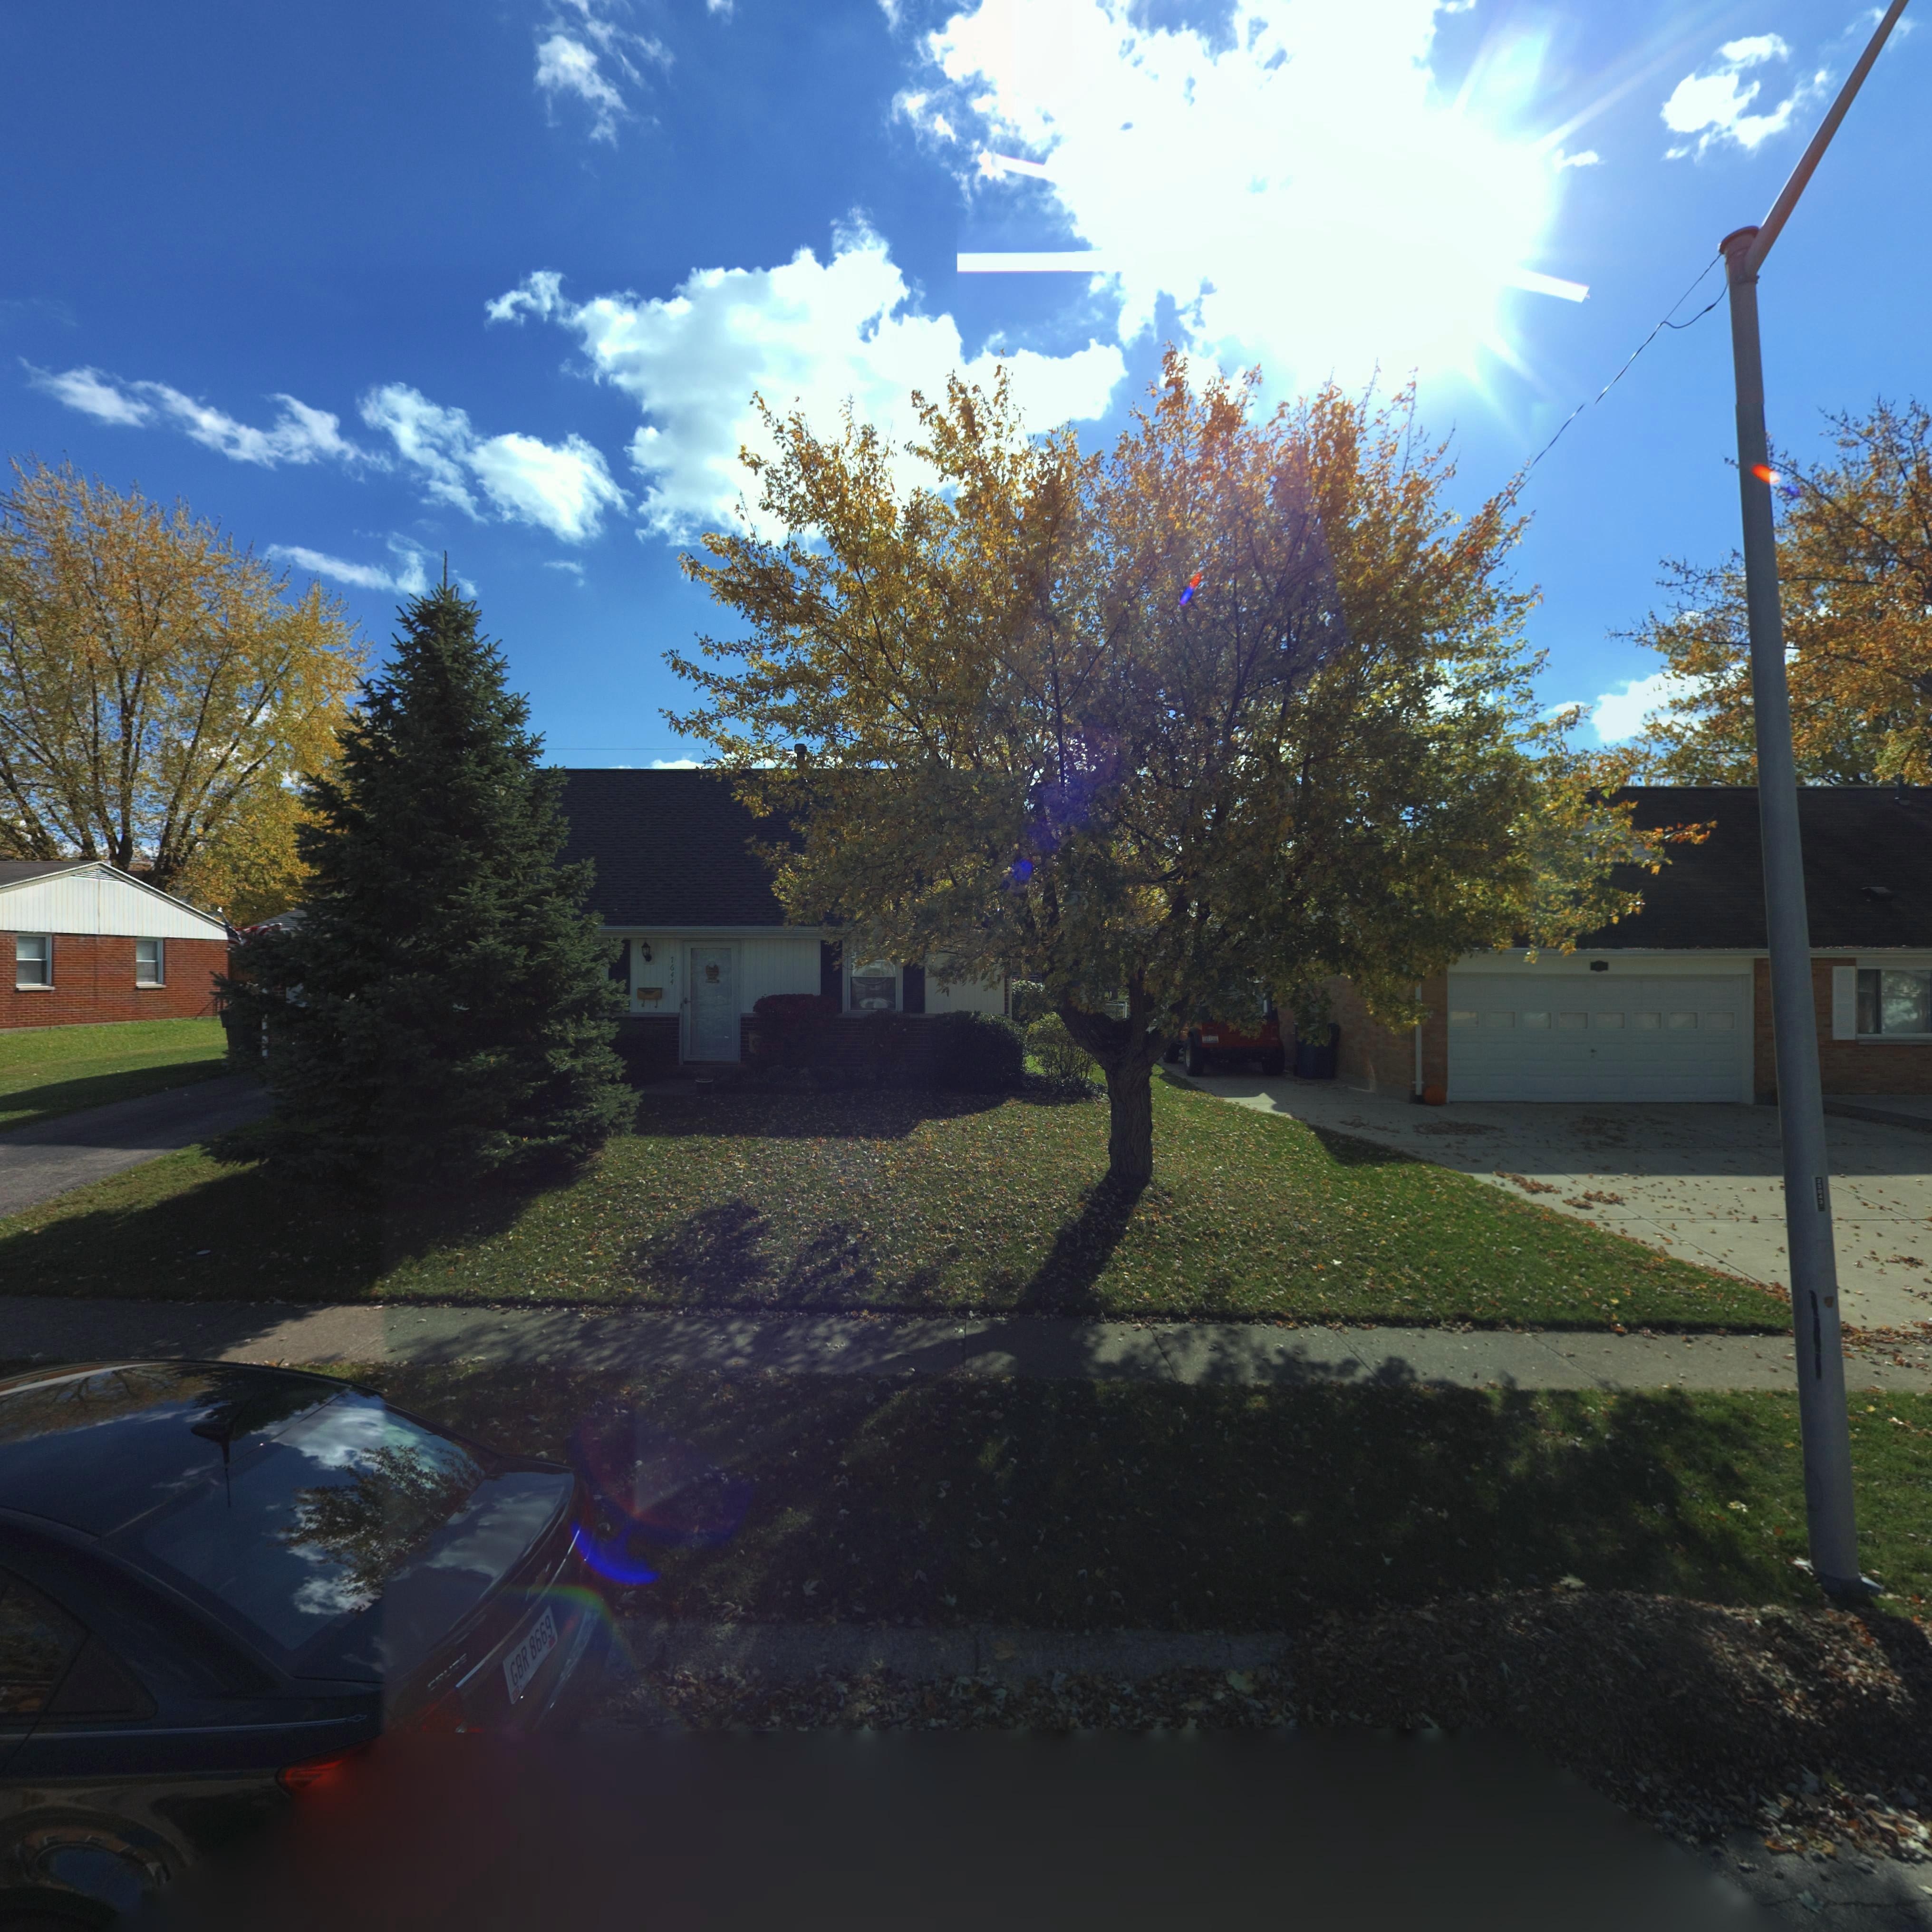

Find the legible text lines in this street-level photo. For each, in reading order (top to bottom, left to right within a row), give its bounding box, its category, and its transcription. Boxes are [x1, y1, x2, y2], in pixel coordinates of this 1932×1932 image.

[670, 956, 675, 985] StreetNumber: 7644
[1591, 962, 1607, 969] StreetNumber: 76*6